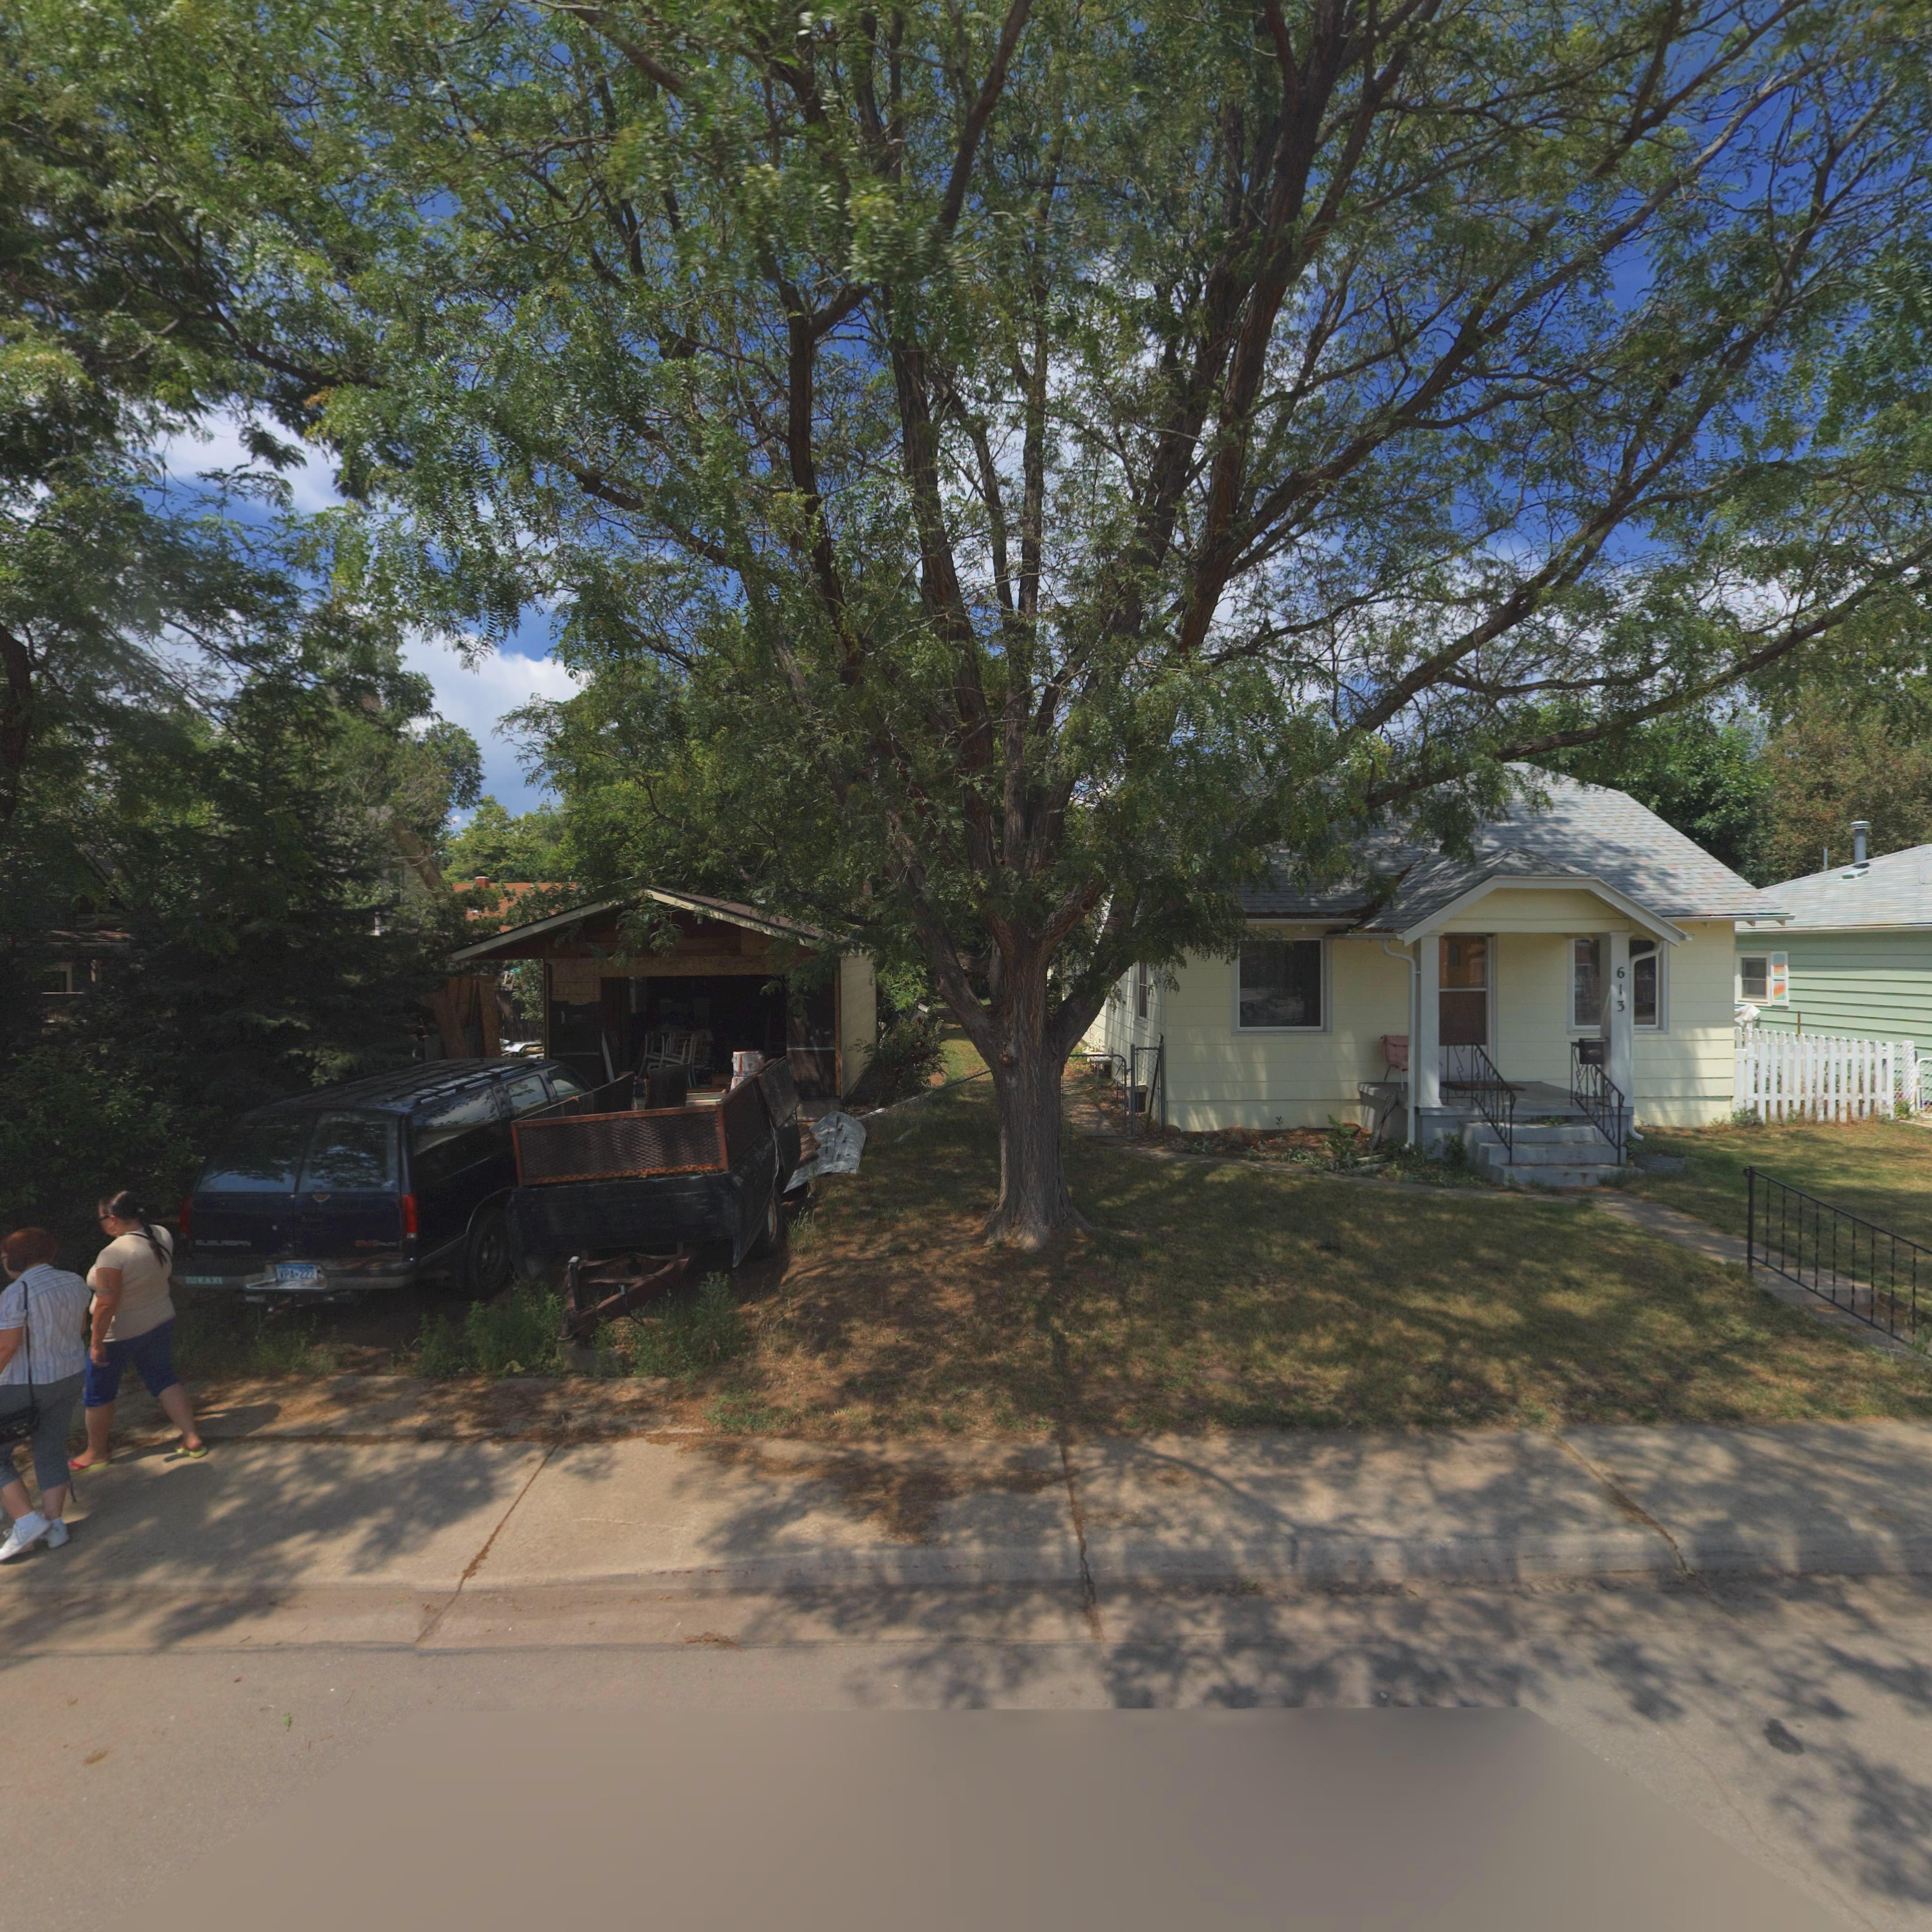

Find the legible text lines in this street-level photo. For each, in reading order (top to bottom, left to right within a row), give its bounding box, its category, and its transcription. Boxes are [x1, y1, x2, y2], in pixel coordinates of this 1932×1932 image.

[1616, 966, 1625, 1012] StreetNumber: 613